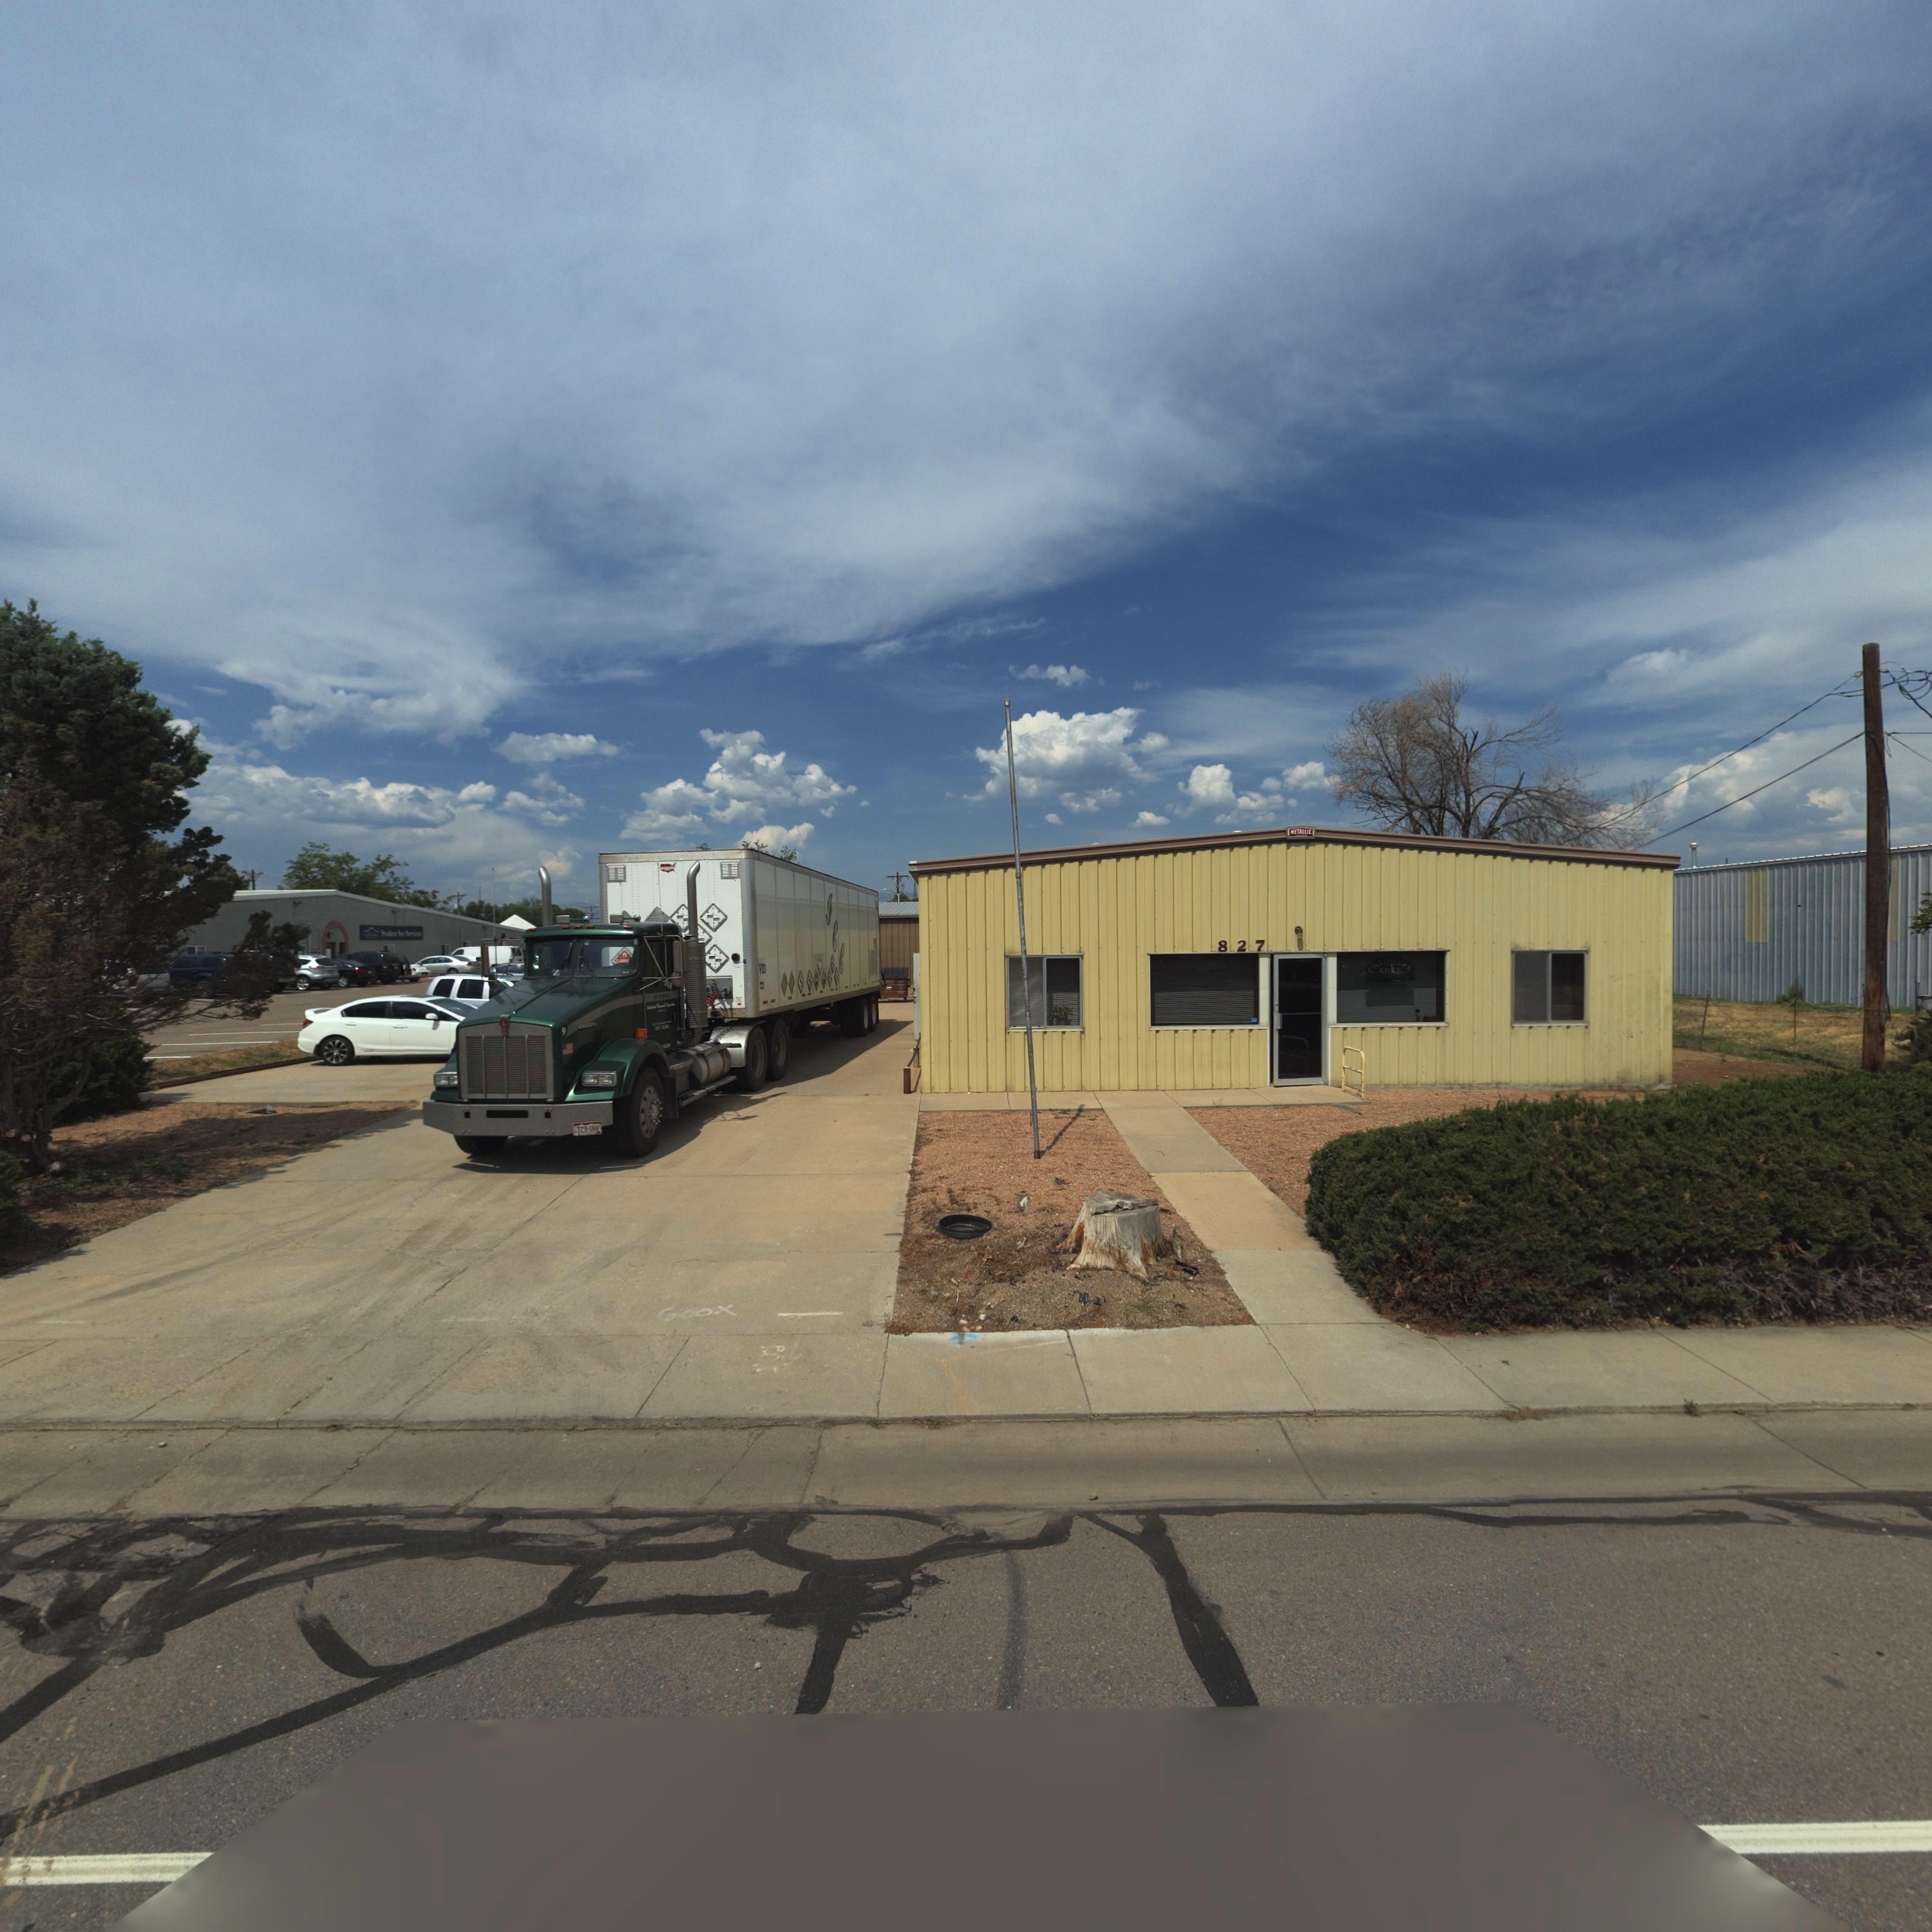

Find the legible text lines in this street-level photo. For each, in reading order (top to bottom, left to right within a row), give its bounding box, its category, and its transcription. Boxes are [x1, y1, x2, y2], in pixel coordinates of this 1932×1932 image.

[380, 929, 422, 937] None: S****** Se* Se*vic**
[1217, 939, 1265, 952] StreetNumber: 827
[1379, 967, 1401, 973] BusinessName: CORP
[1367, 958, 1413, 973] BusinessName: CH*OM*RK